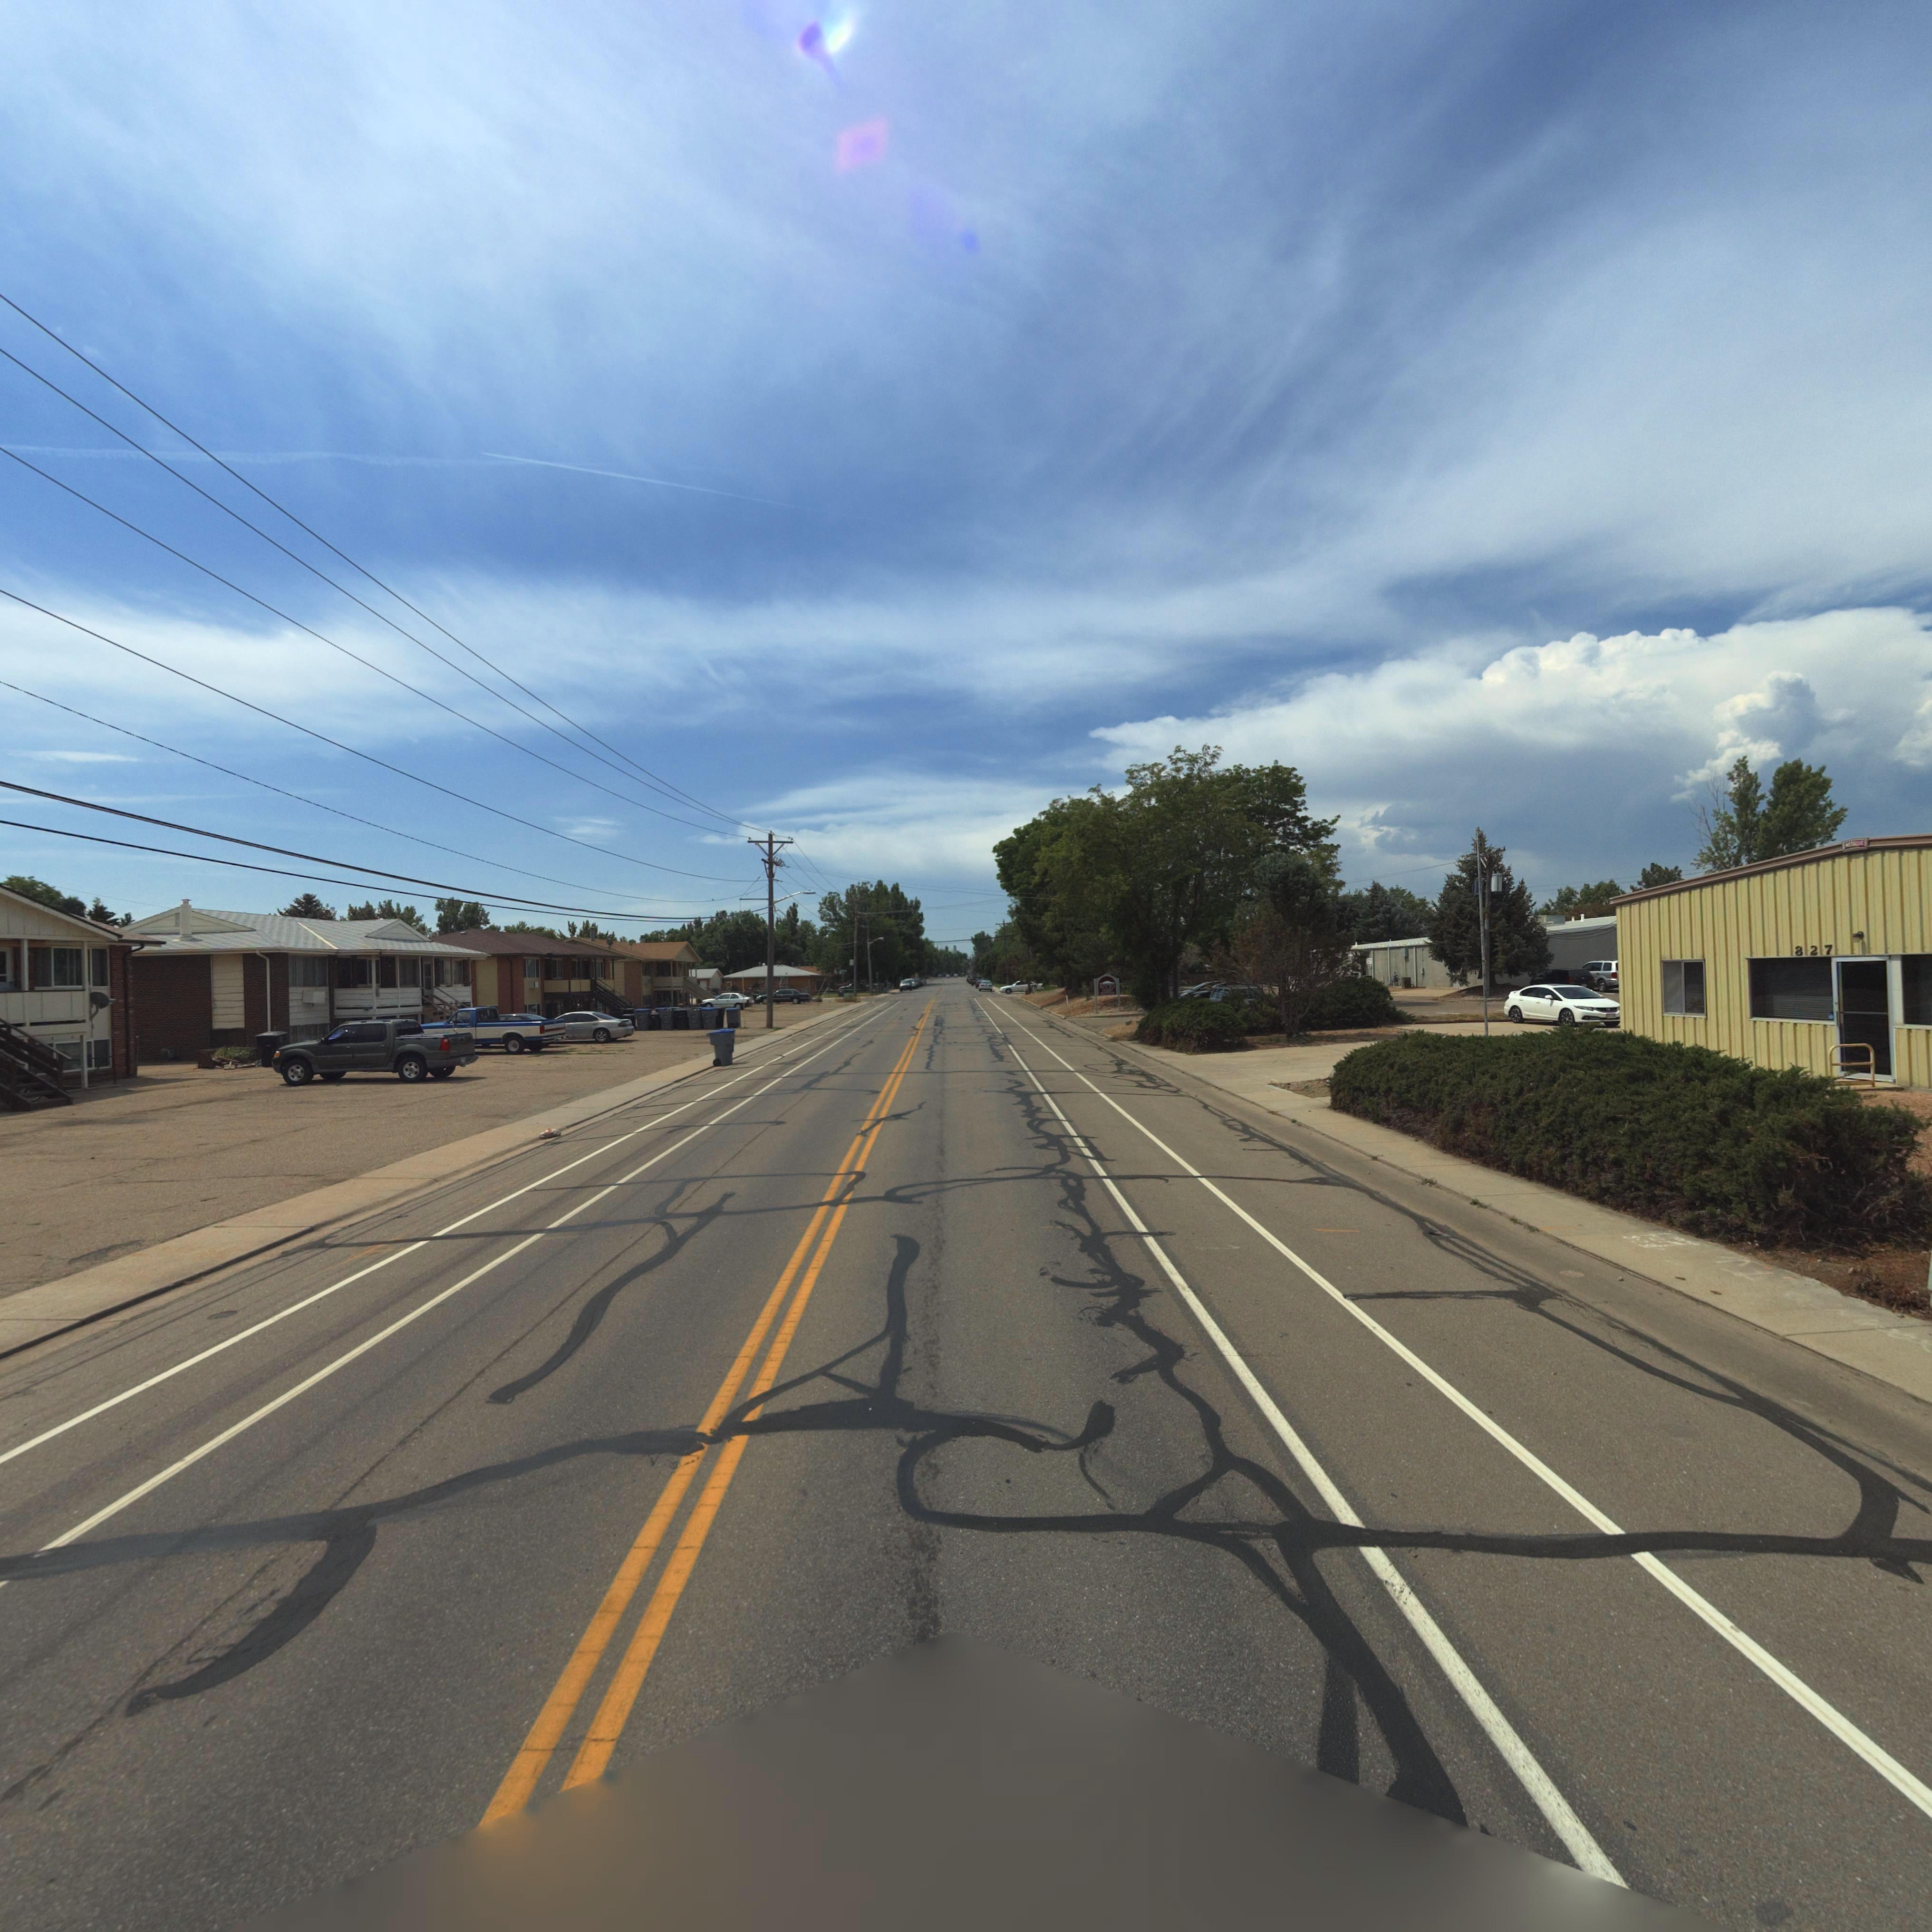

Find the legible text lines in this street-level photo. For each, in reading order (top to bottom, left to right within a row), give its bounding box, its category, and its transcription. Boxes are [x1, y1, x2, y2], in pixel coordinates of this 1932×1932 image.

[1795, 944, 1832, 956] StreetNumber: 827
[1100, 984, 1115, 988] BusinessName: *OC**